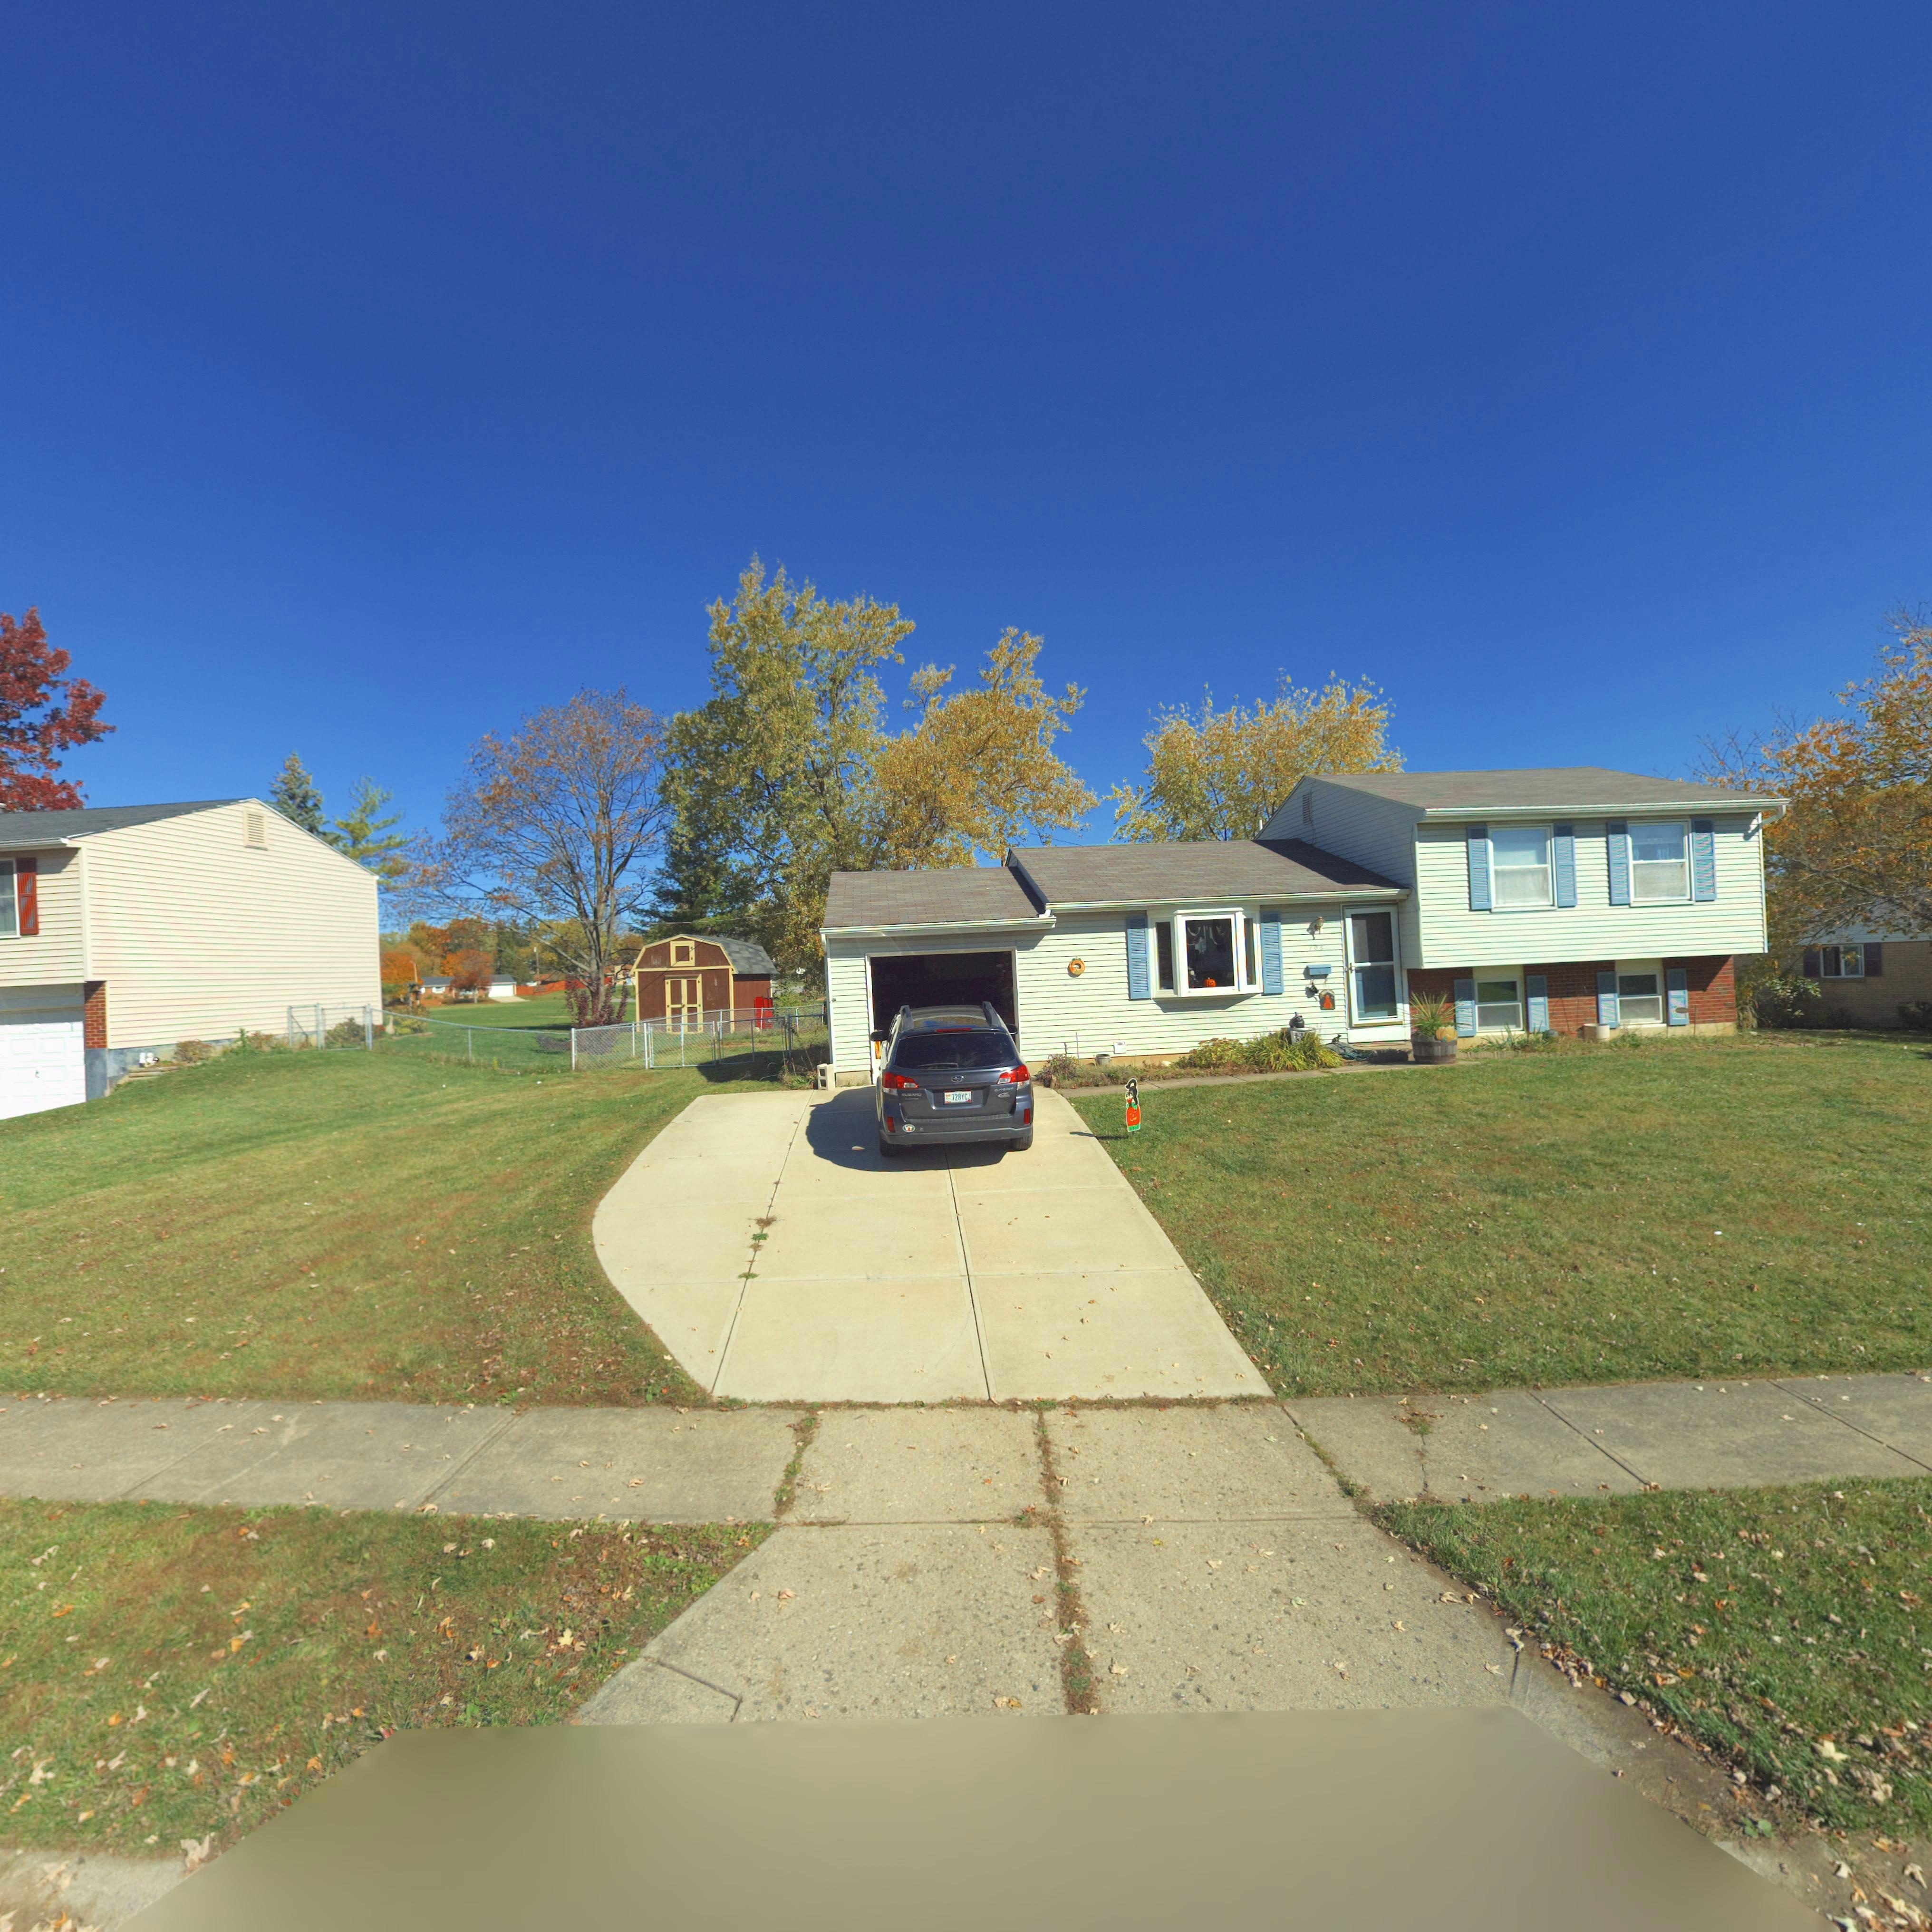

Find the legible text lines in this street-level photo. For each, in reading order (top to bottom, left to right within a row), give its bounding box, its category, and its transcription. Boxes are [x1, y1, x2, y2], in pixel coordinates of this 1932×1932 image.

[1308, 944, 1324, 951] StreetNumber: 106